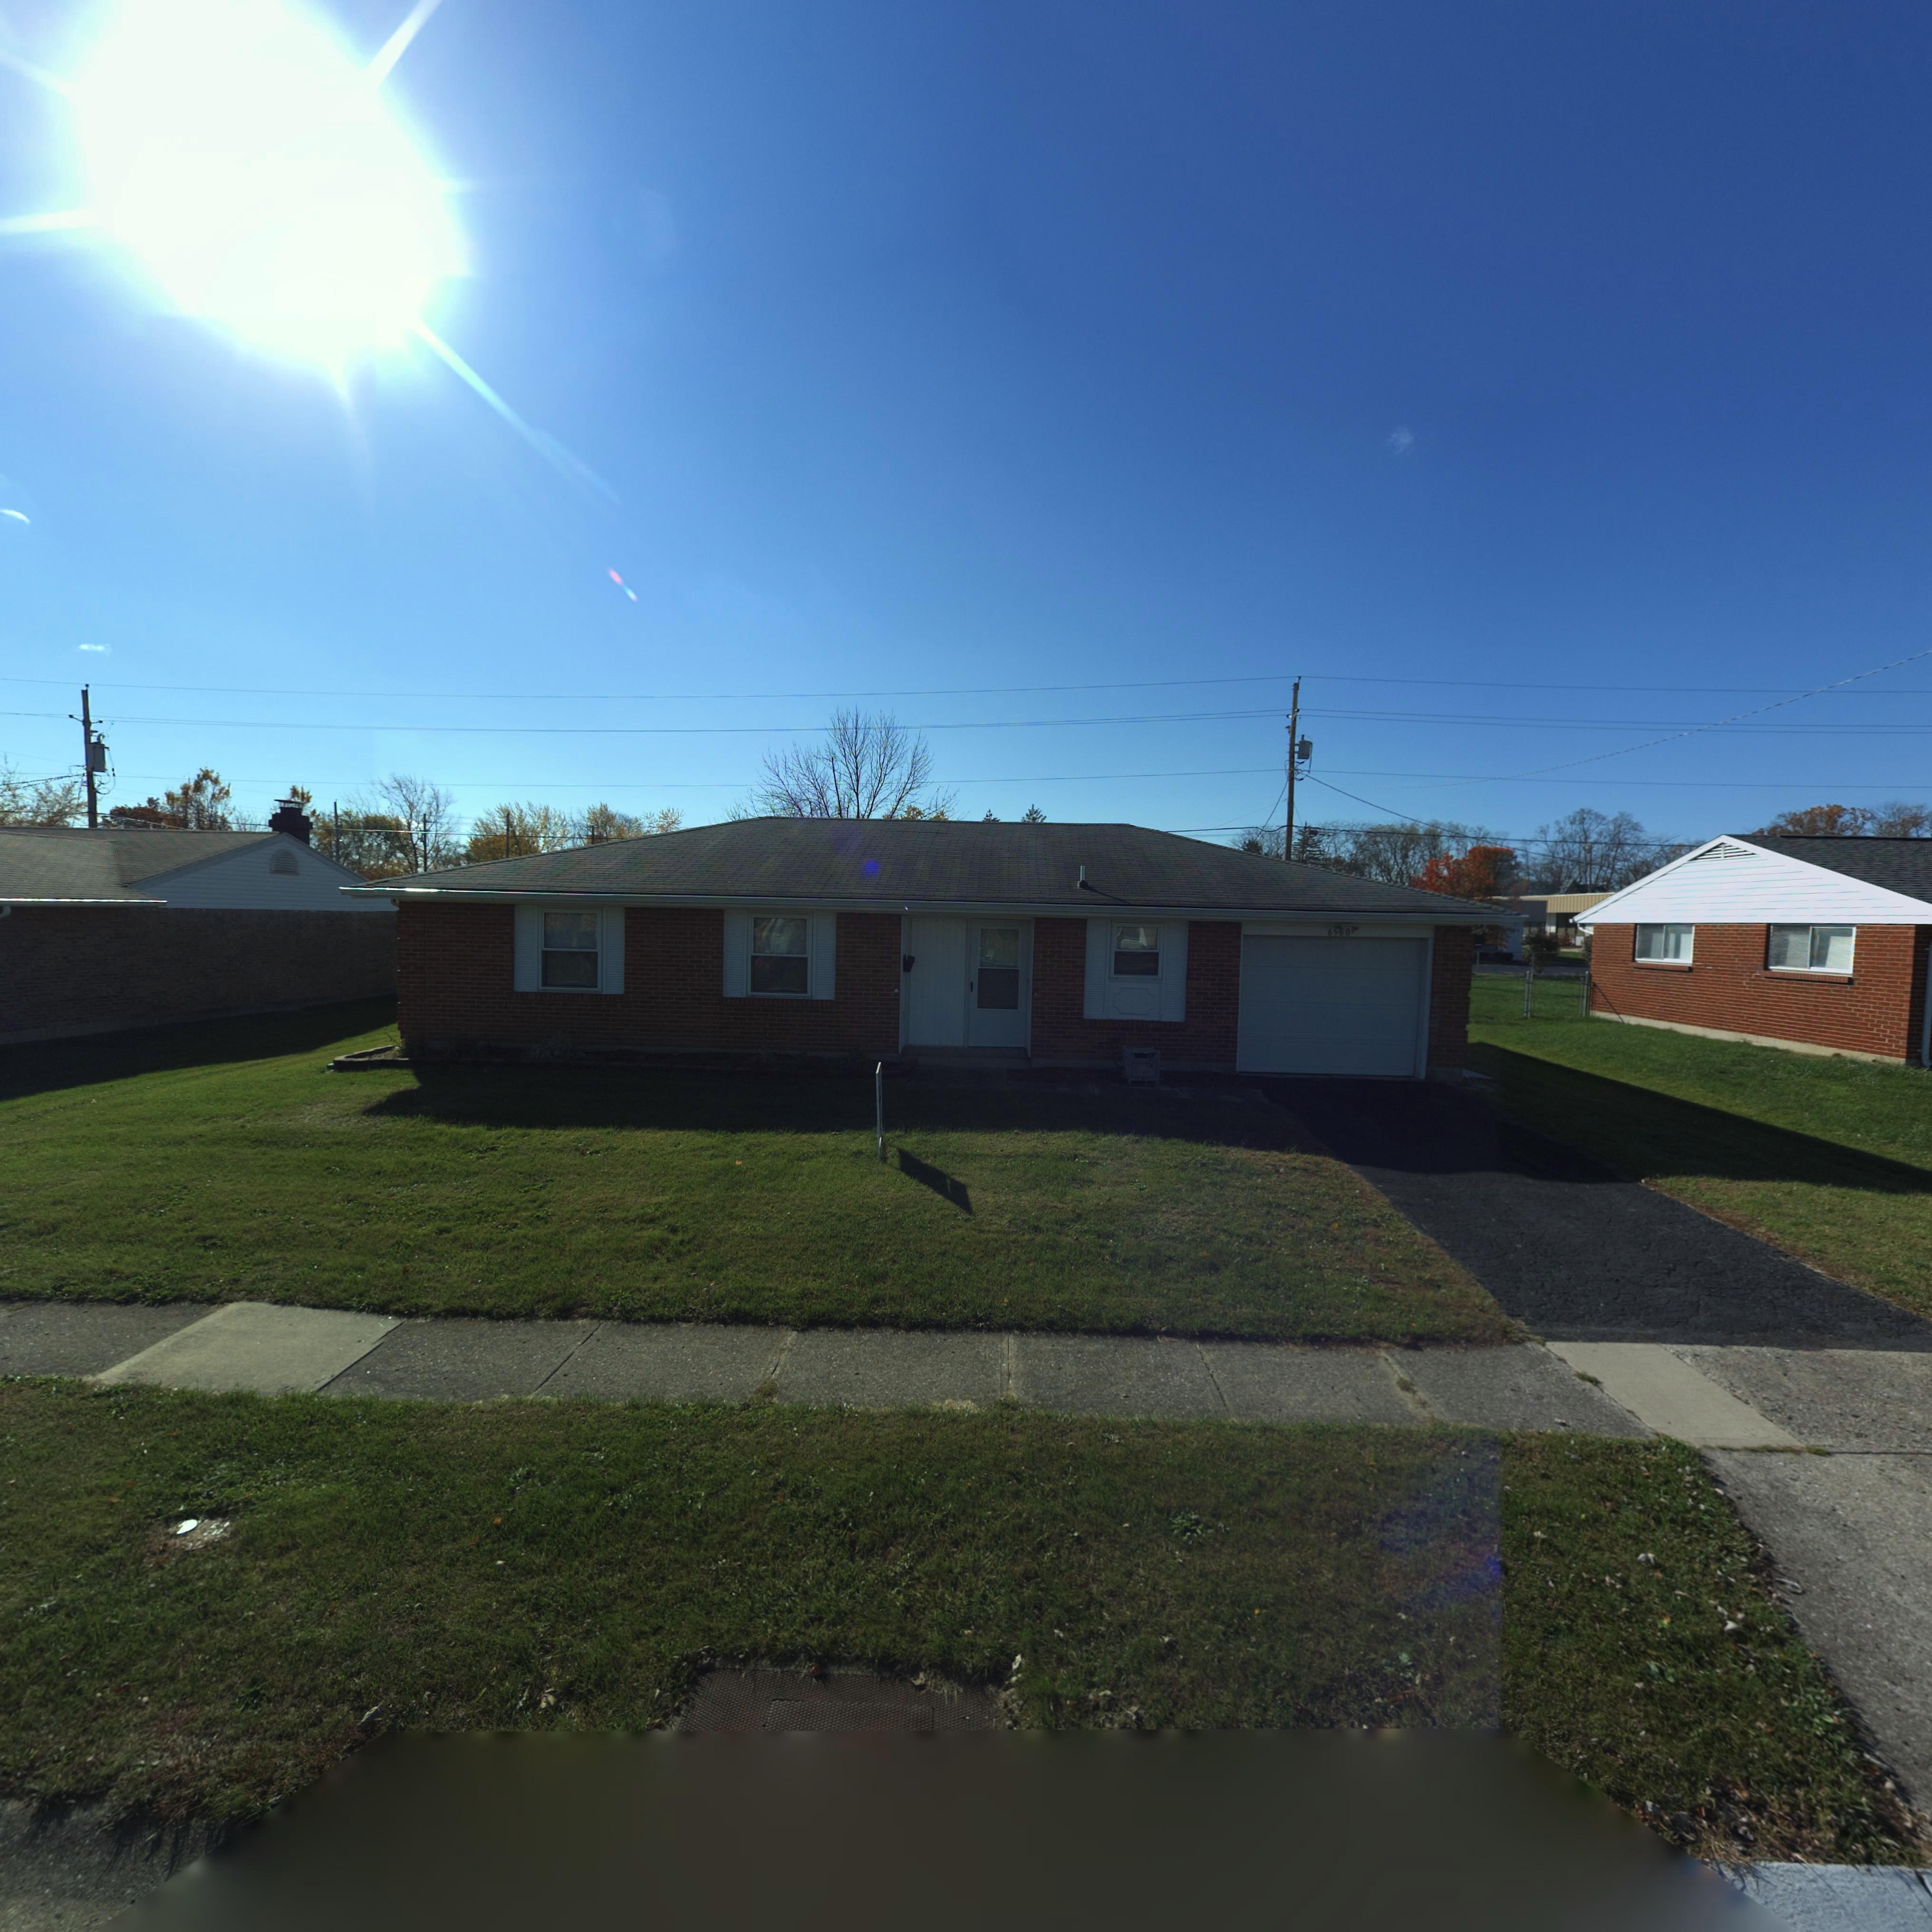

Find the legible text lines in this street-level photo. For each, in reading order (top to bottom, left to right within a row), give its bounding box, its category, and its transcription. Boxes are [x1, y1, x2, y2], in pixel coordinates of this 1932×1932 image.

[1327, 927, 1351, 937] StreetNumber: 6*60